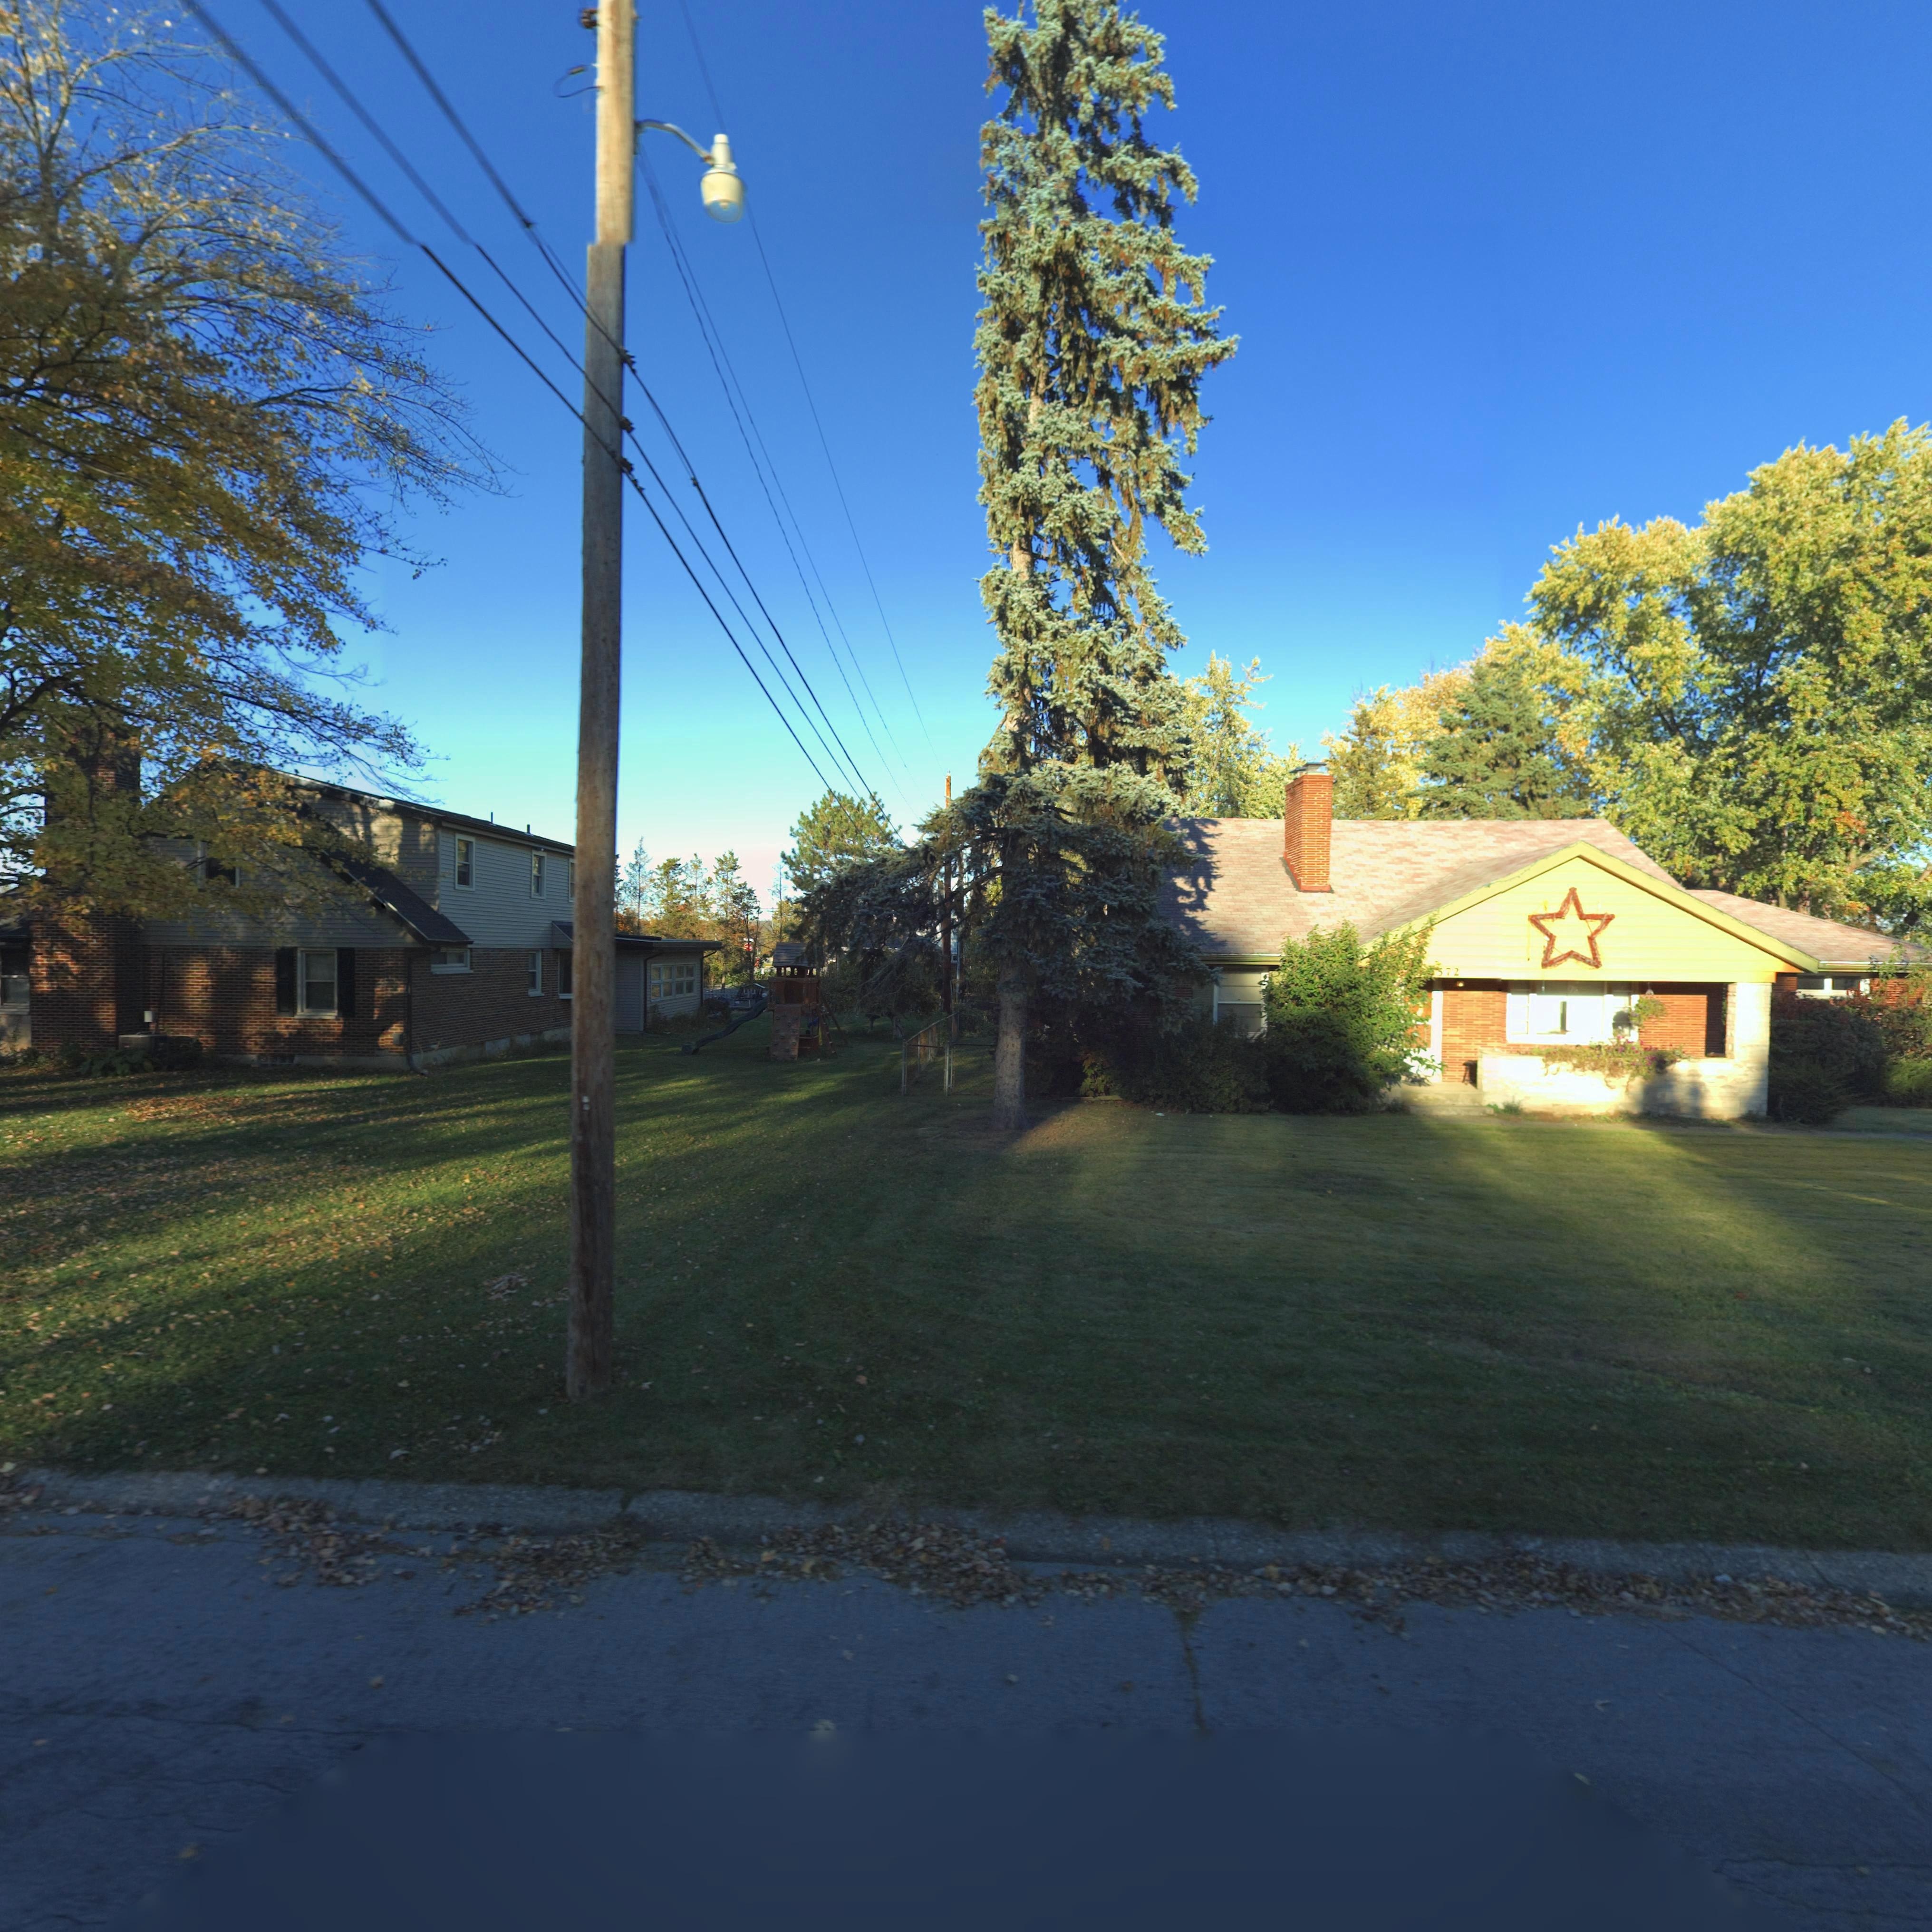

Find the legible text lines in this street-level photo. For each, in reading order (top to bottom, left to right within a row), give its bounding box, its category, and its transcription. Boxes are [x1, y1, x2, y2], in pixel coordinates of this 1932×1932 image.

[1436, 966, 1460, 978] StreetNumber: 572